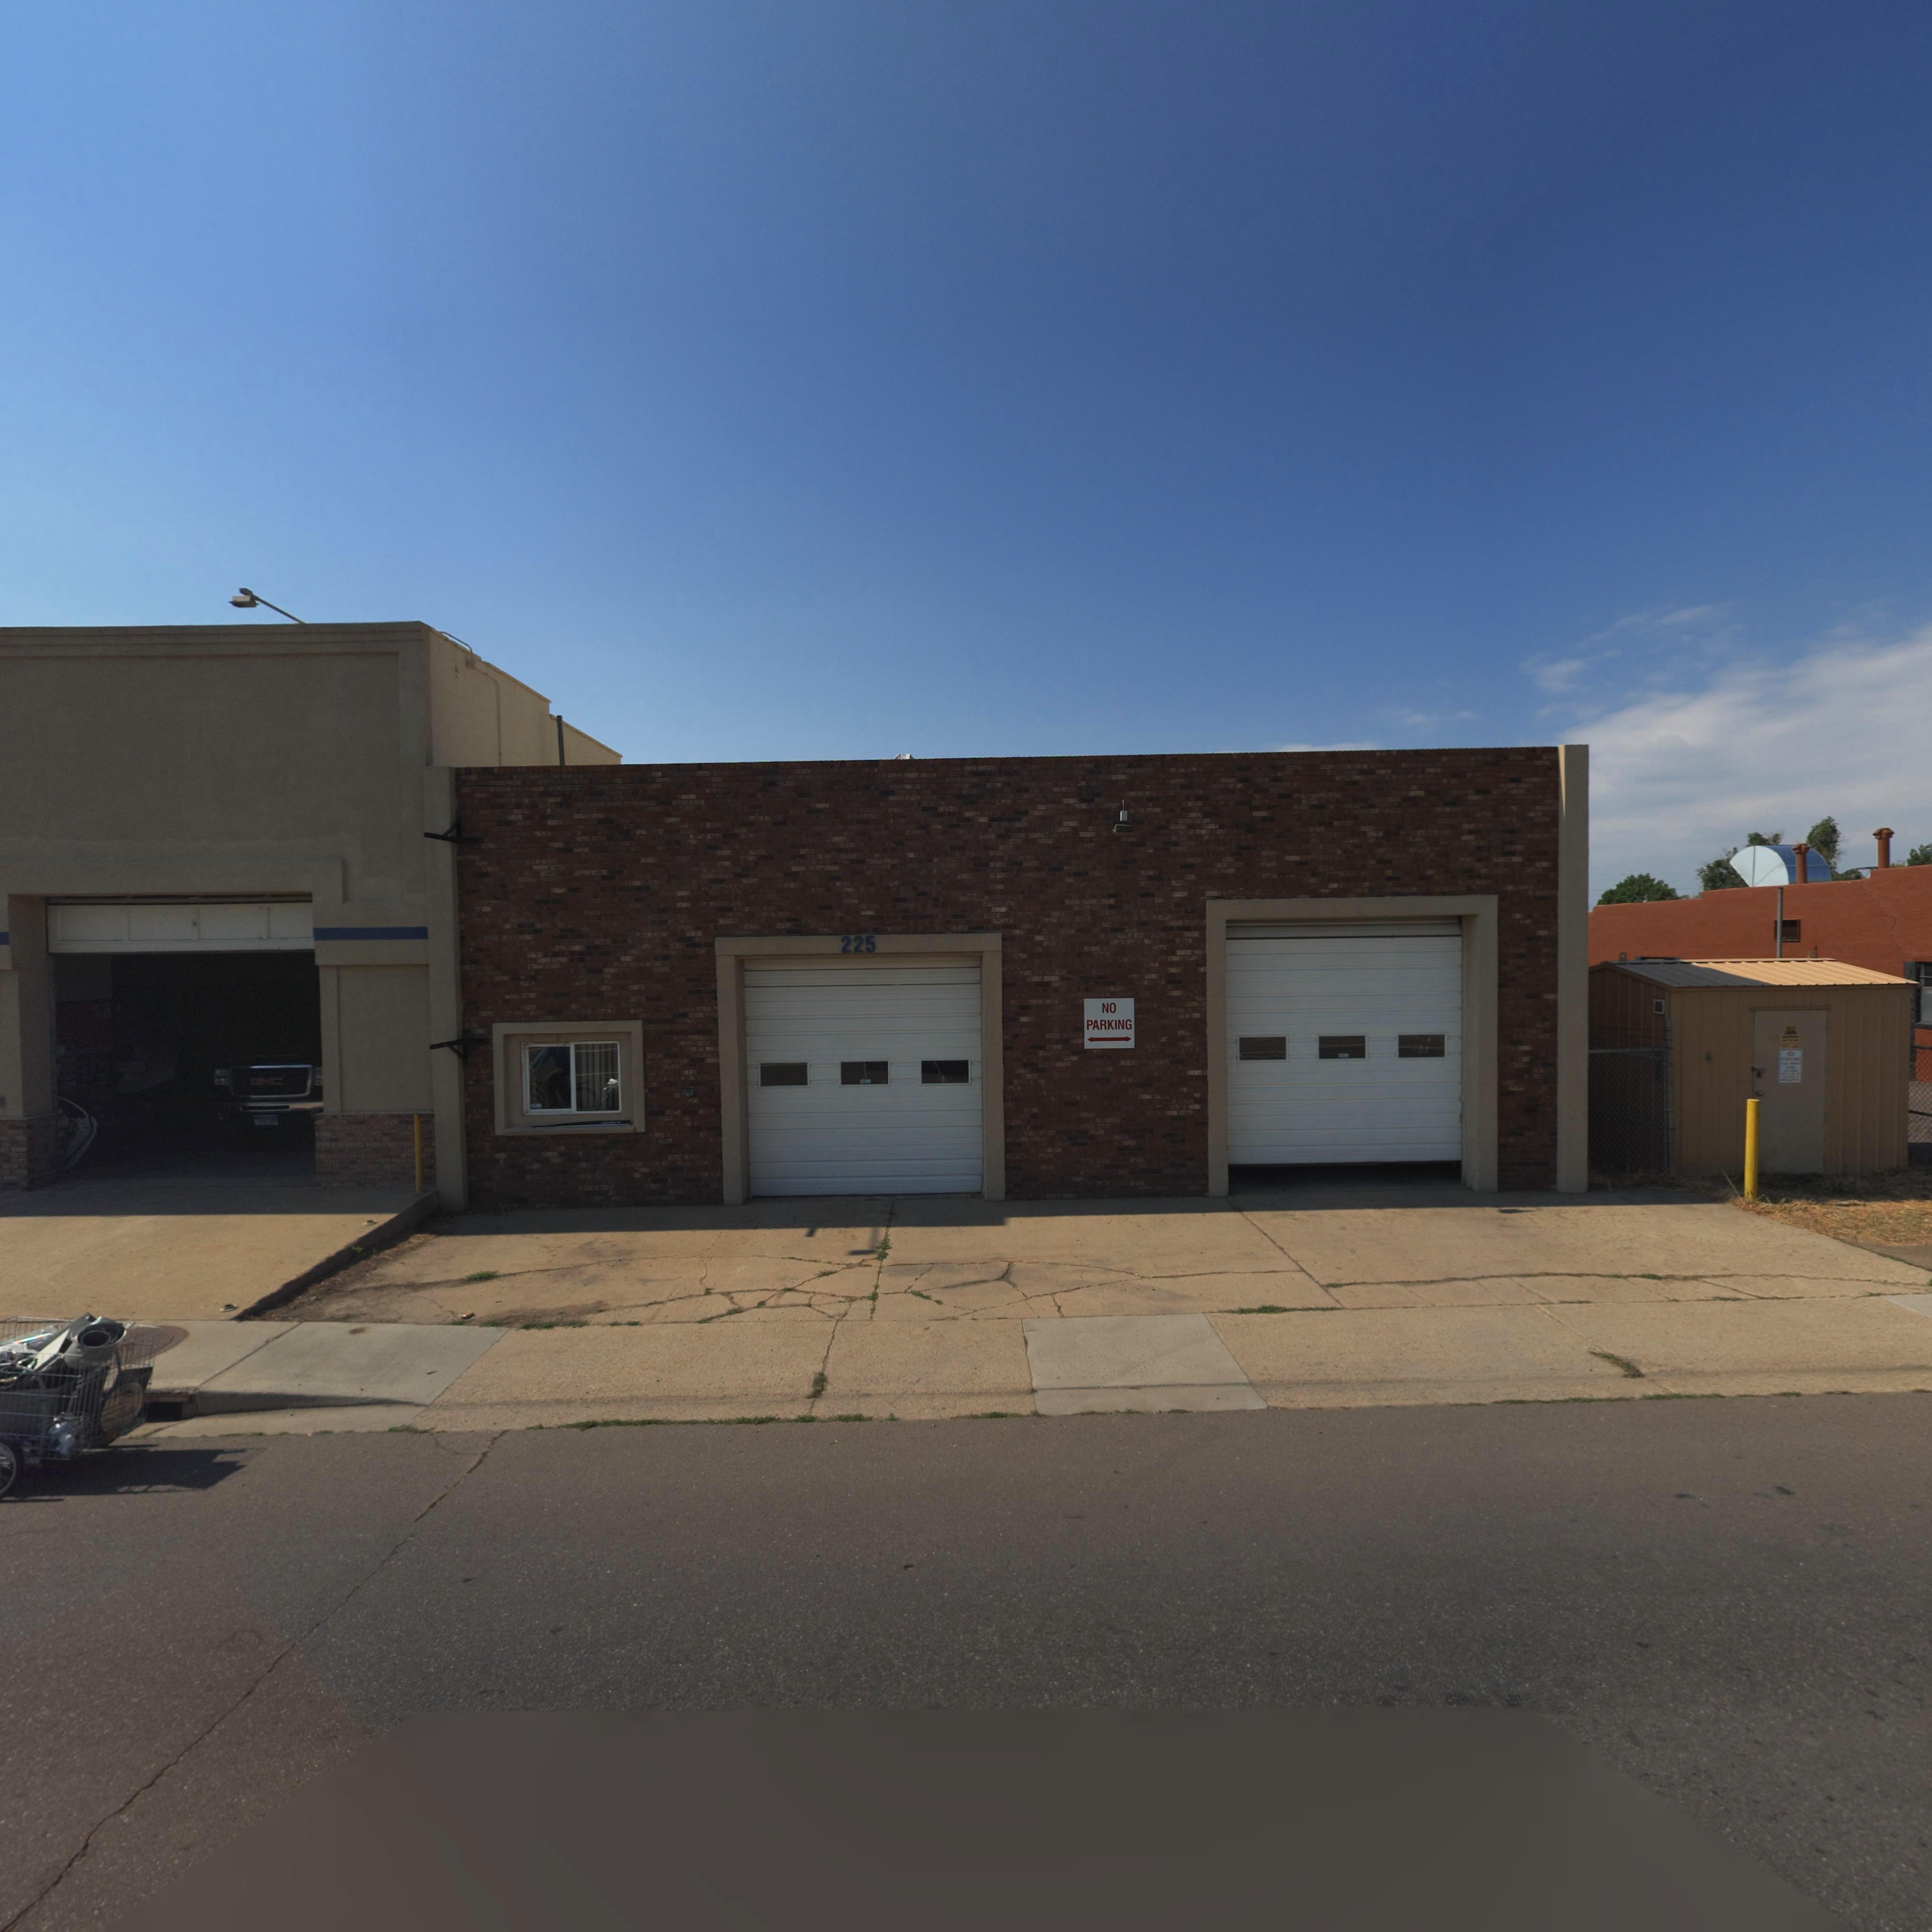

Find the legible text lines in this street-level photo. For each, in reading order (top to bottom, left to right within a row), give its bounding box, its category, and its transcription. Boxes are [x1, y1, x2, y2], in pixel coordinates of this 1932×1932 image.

[840, 935, 876, 954] StreetNumber: 225